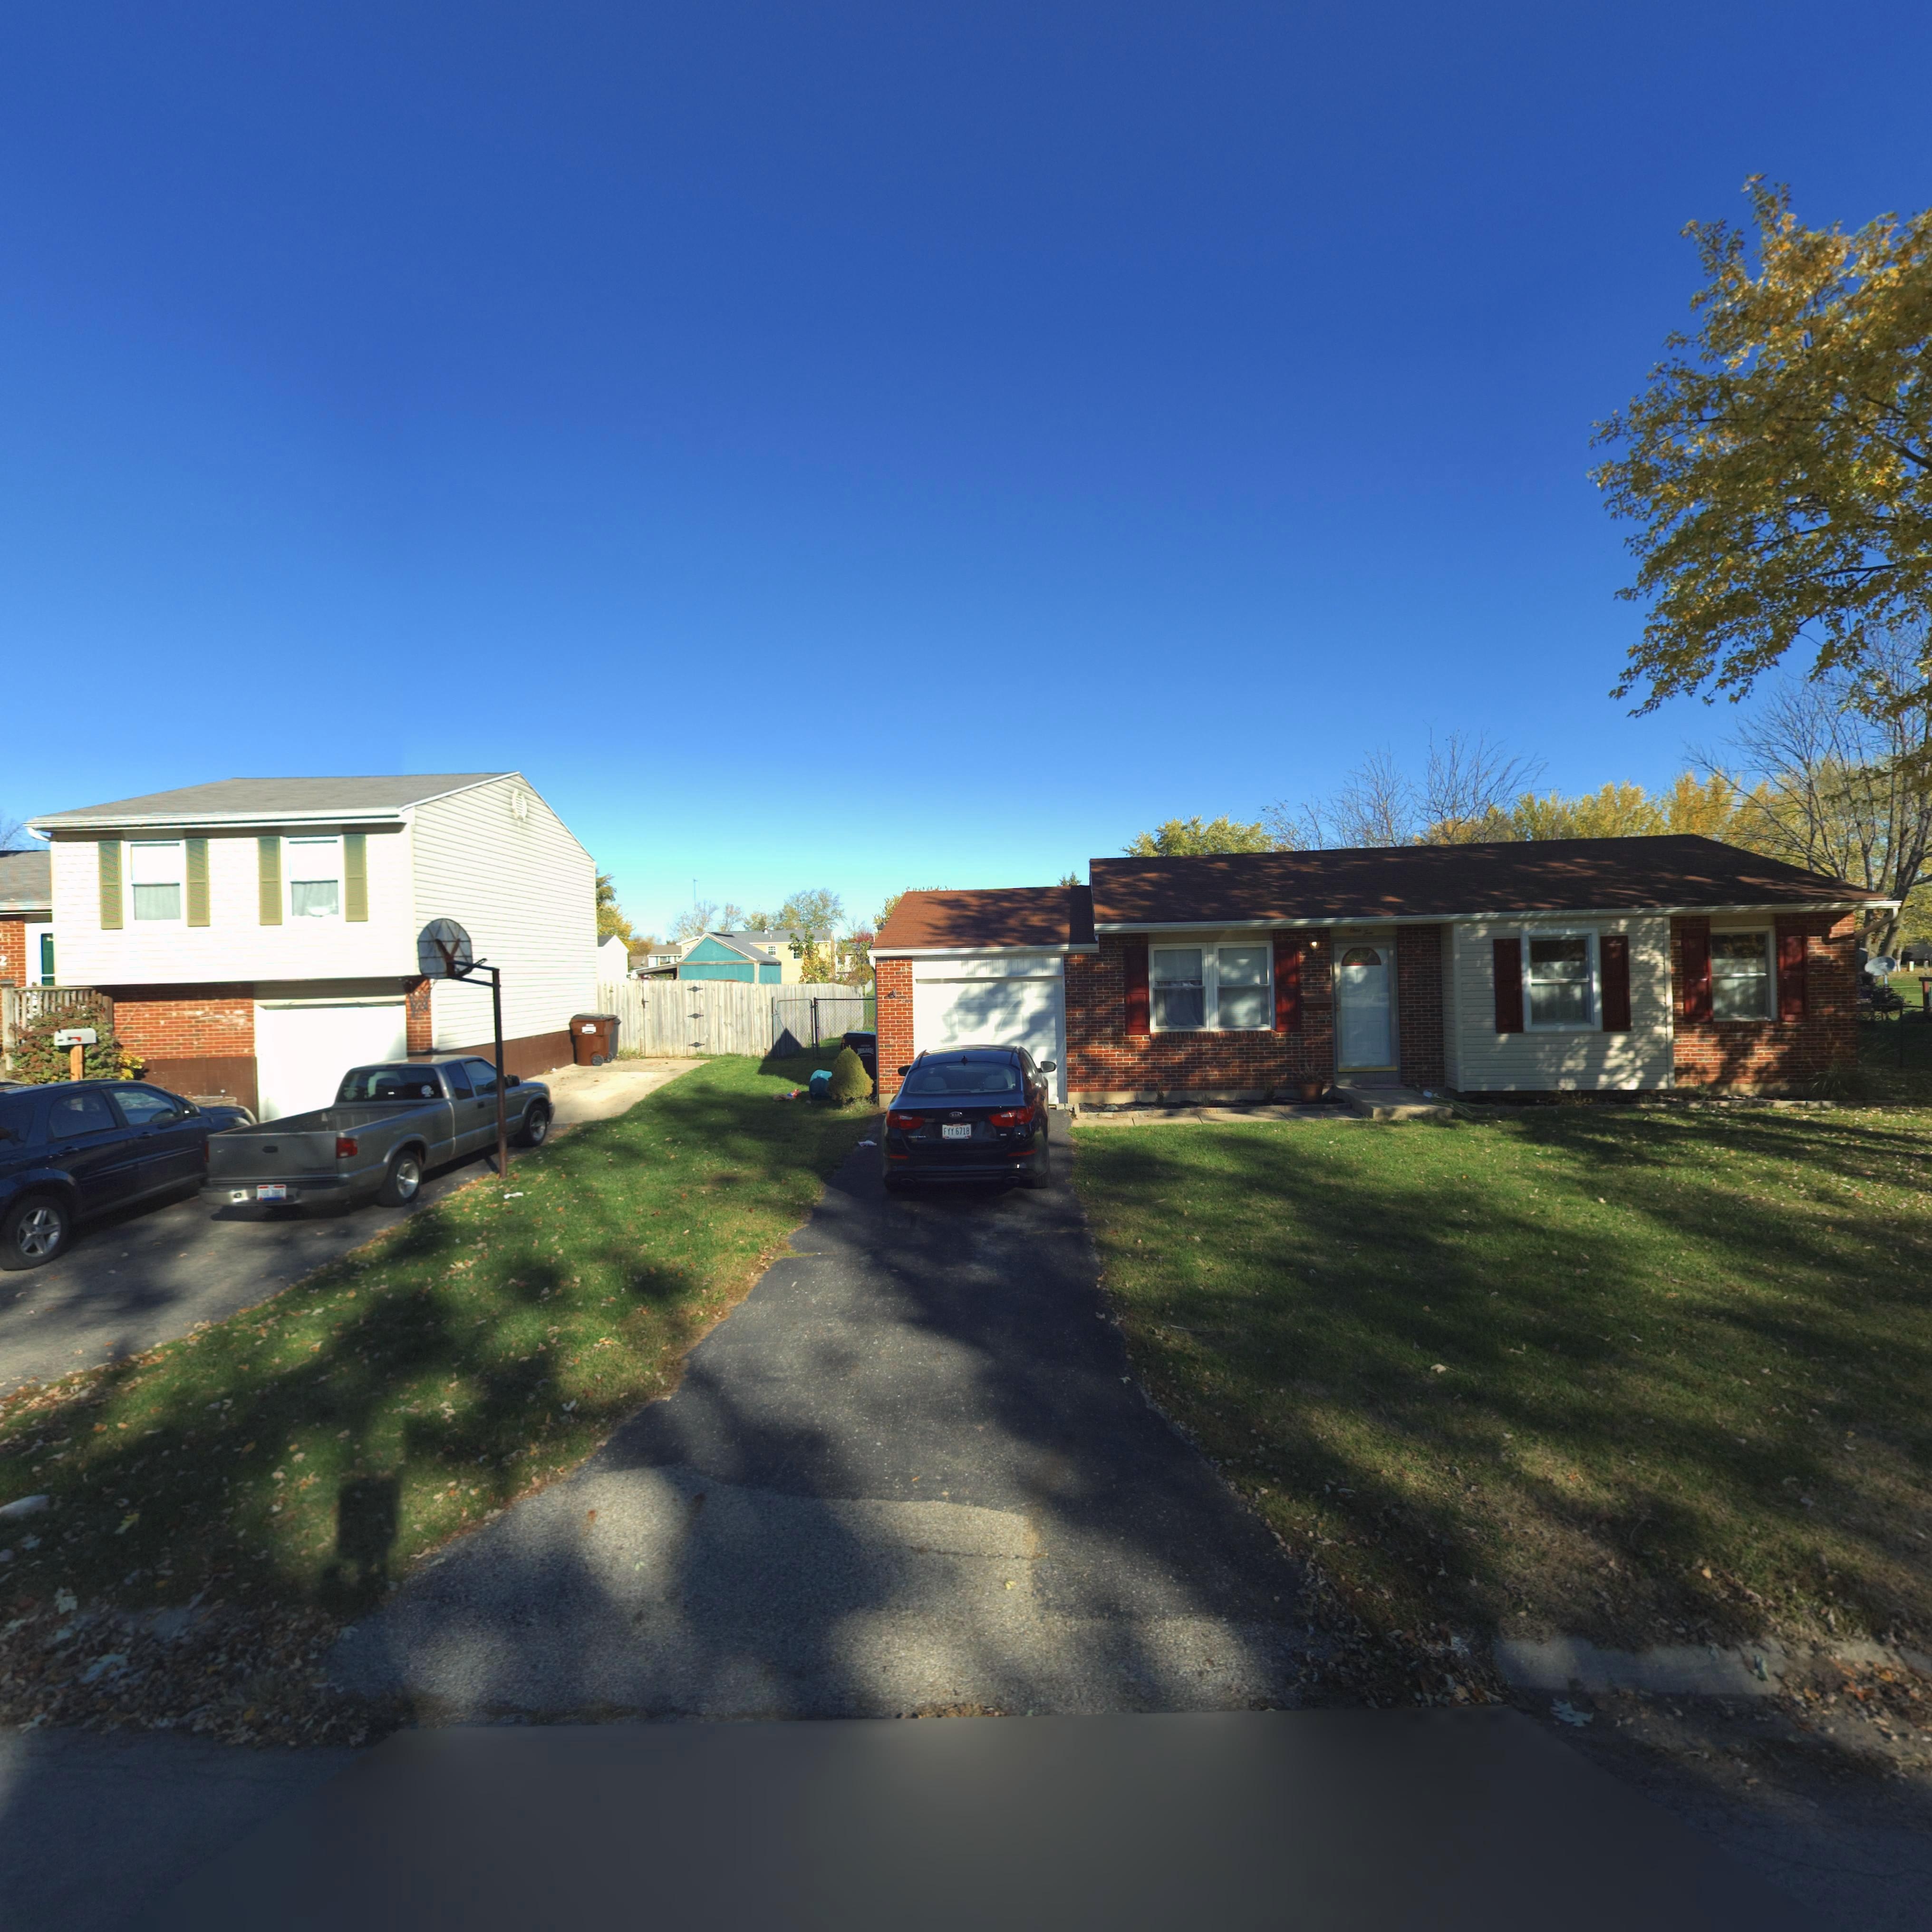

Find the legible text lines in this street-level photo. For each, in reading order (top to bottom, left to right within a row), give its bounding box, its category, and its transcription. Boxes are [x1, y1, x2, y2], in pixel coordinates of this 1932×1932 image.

[1349, 927, 1362, 934] StreetNumber: One
[1362, 929, 1374, 936] StreetNumber: Ten
[0, 955, 7, 966] StreetNumber: 2